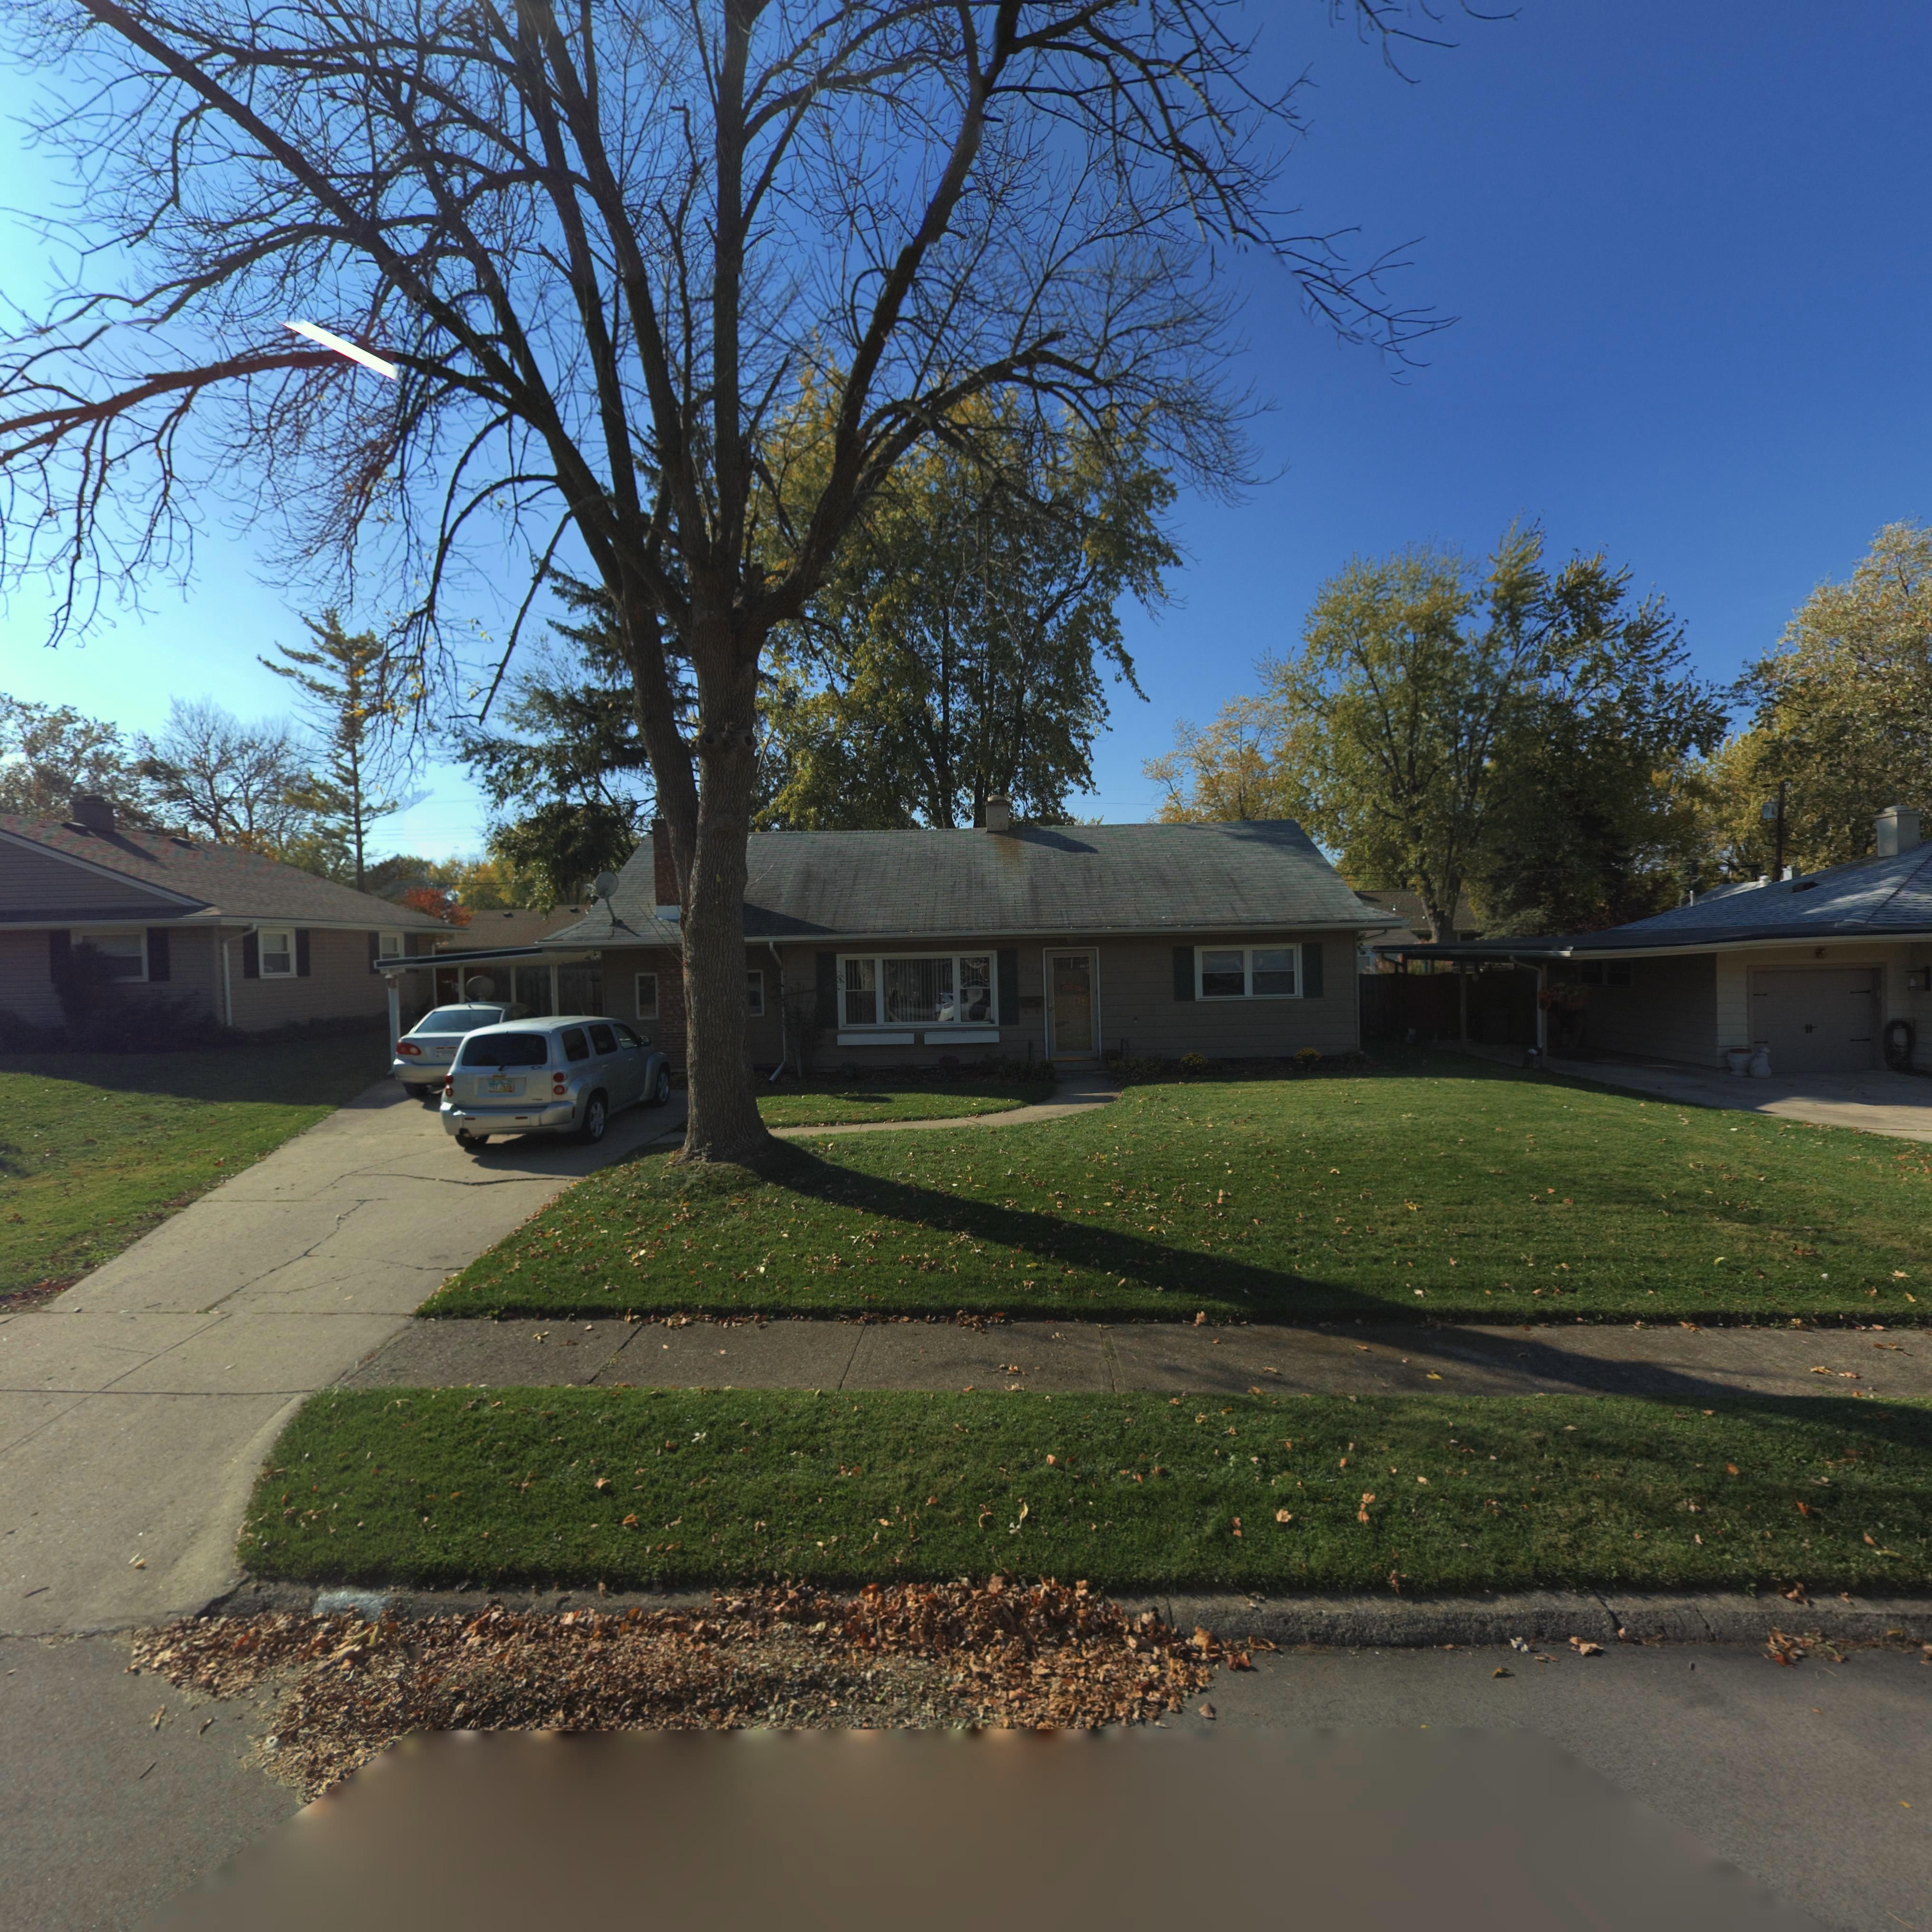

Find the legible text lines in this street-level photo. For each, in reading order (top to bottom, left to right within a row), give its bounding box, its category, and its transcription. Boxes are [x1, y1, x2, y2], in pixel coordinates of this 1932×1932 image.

[1018, 964, 1039, 975] StreetNumber: 3711
[489, 1082, 512, 1090] None: FEE*2676